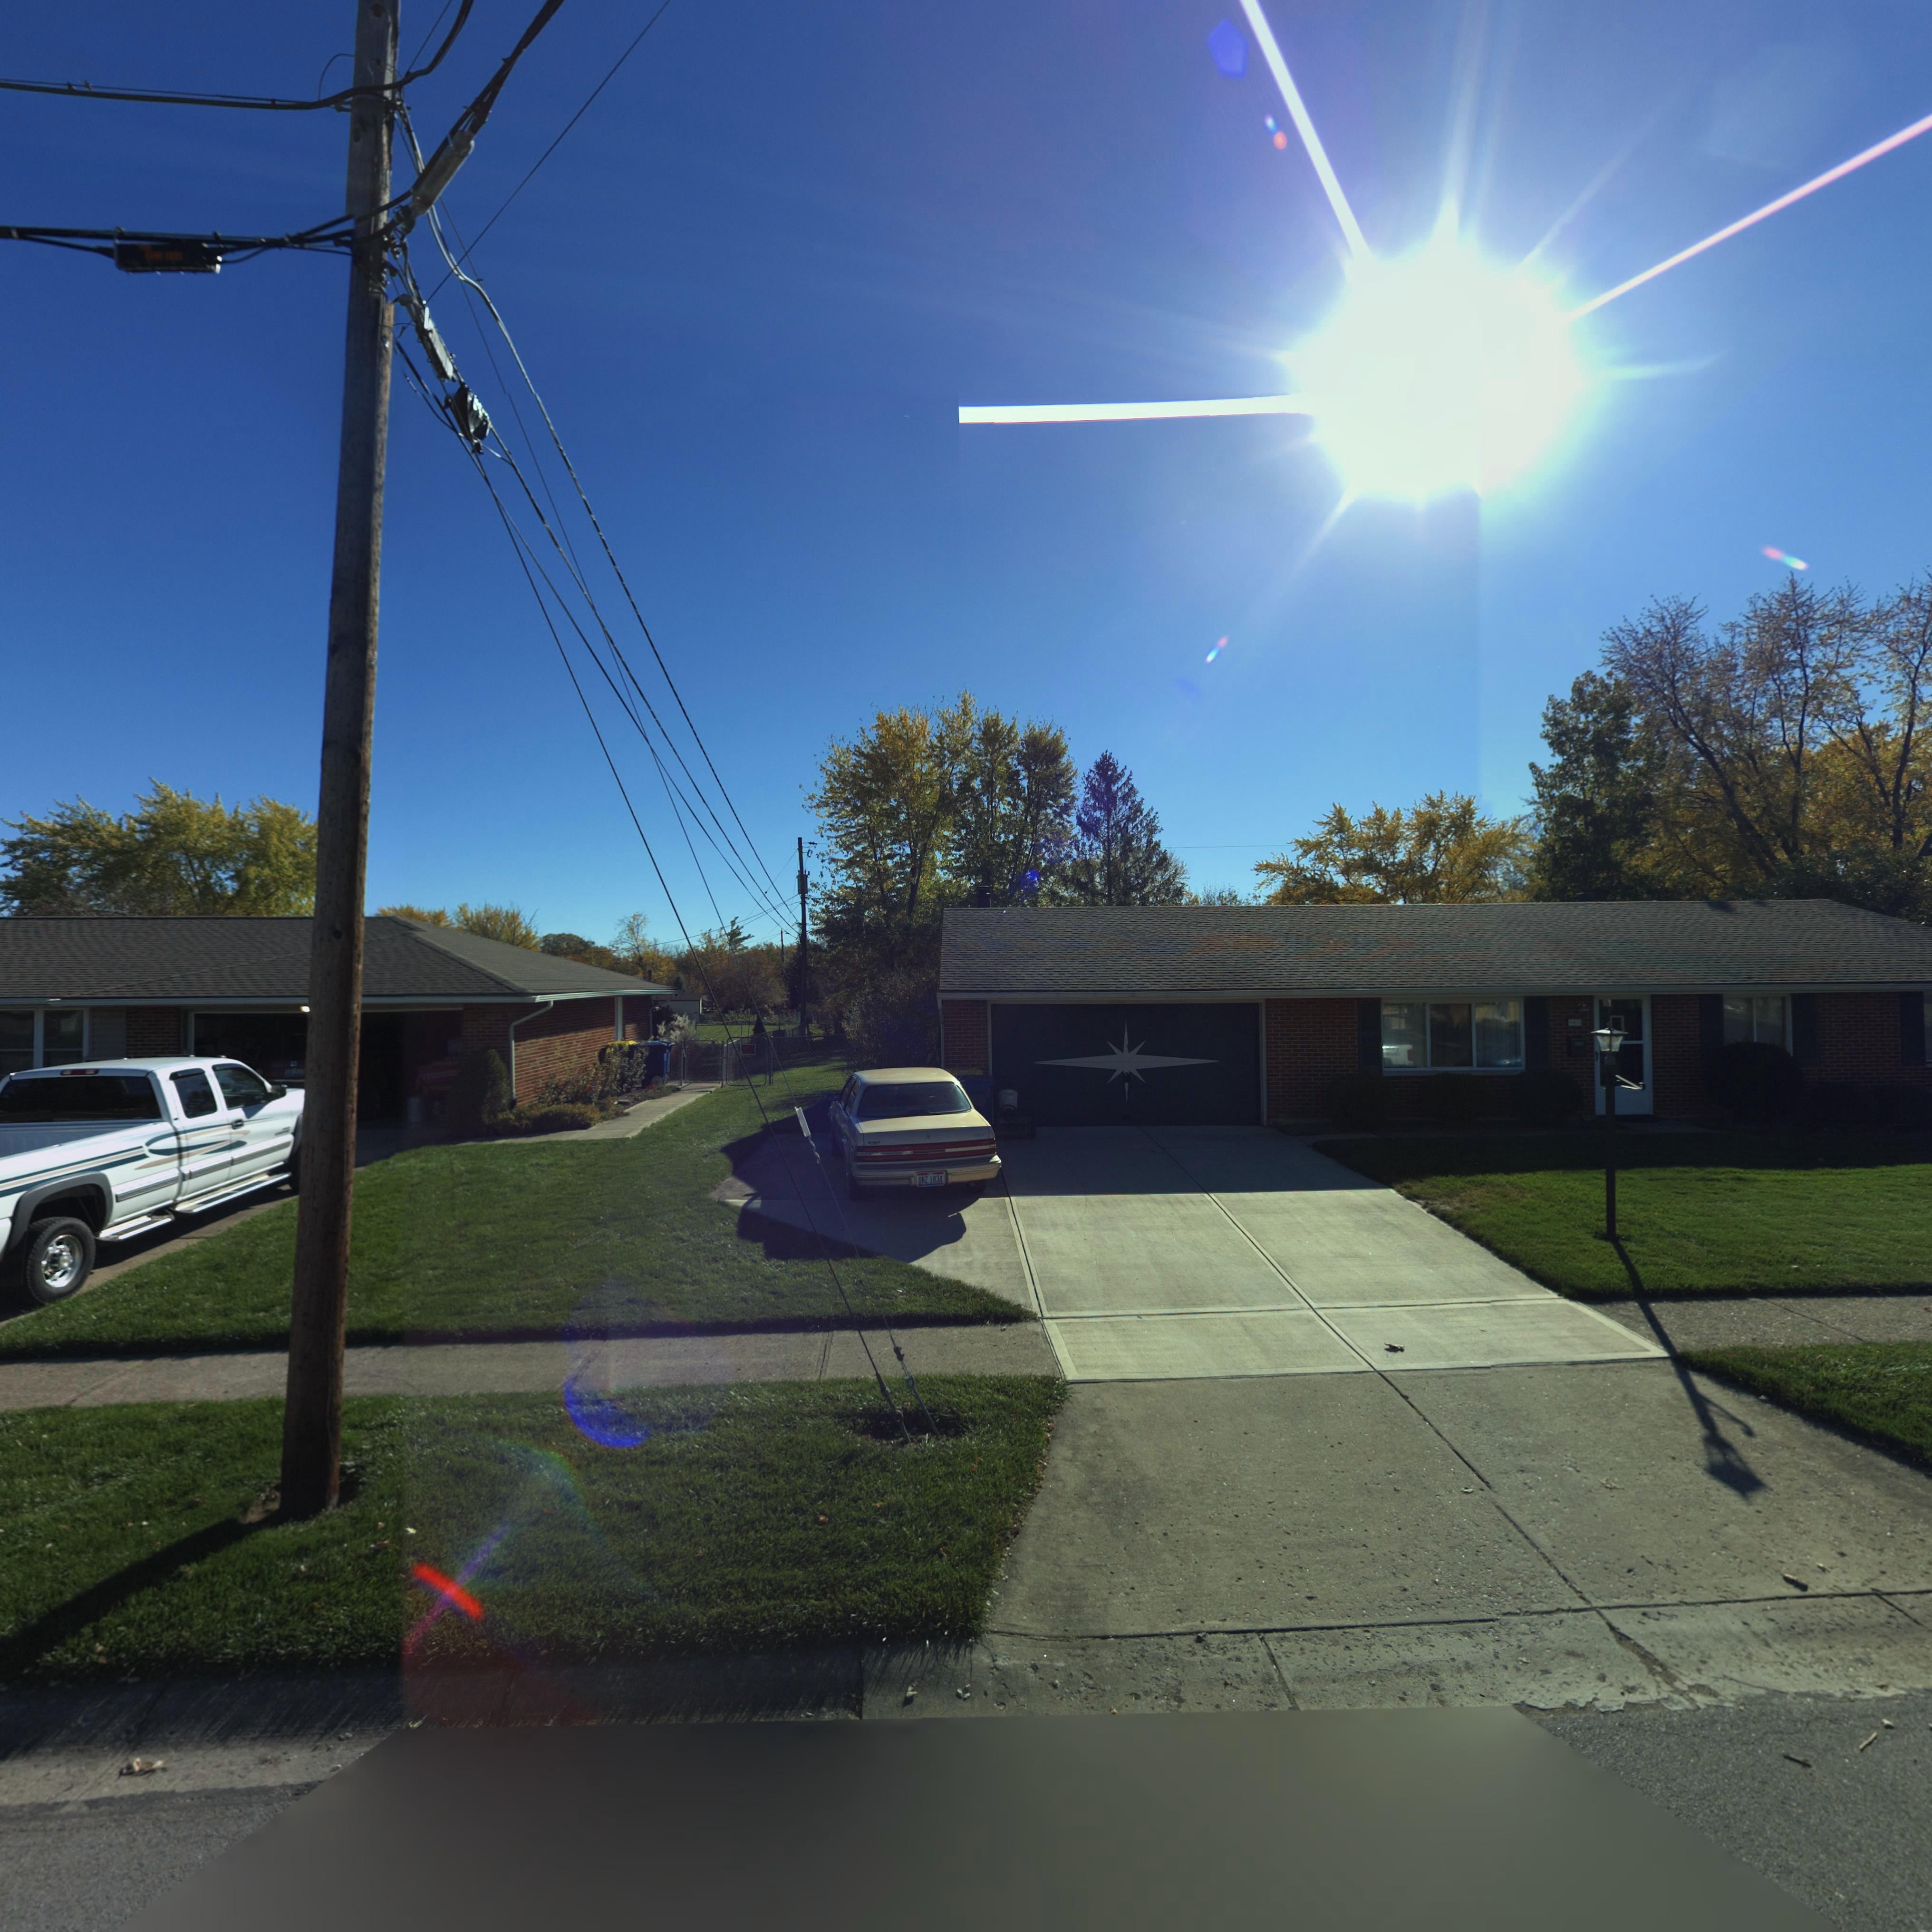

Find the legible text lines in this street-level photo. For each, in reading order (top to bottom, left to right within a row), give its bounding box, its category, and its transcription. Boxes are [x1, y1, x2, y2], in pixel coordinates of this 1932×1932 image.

[1569, 1020, 1582, 1025] StreetNumber: 4*06
[918, 1175, 943, 1185] None: DNZ*1834